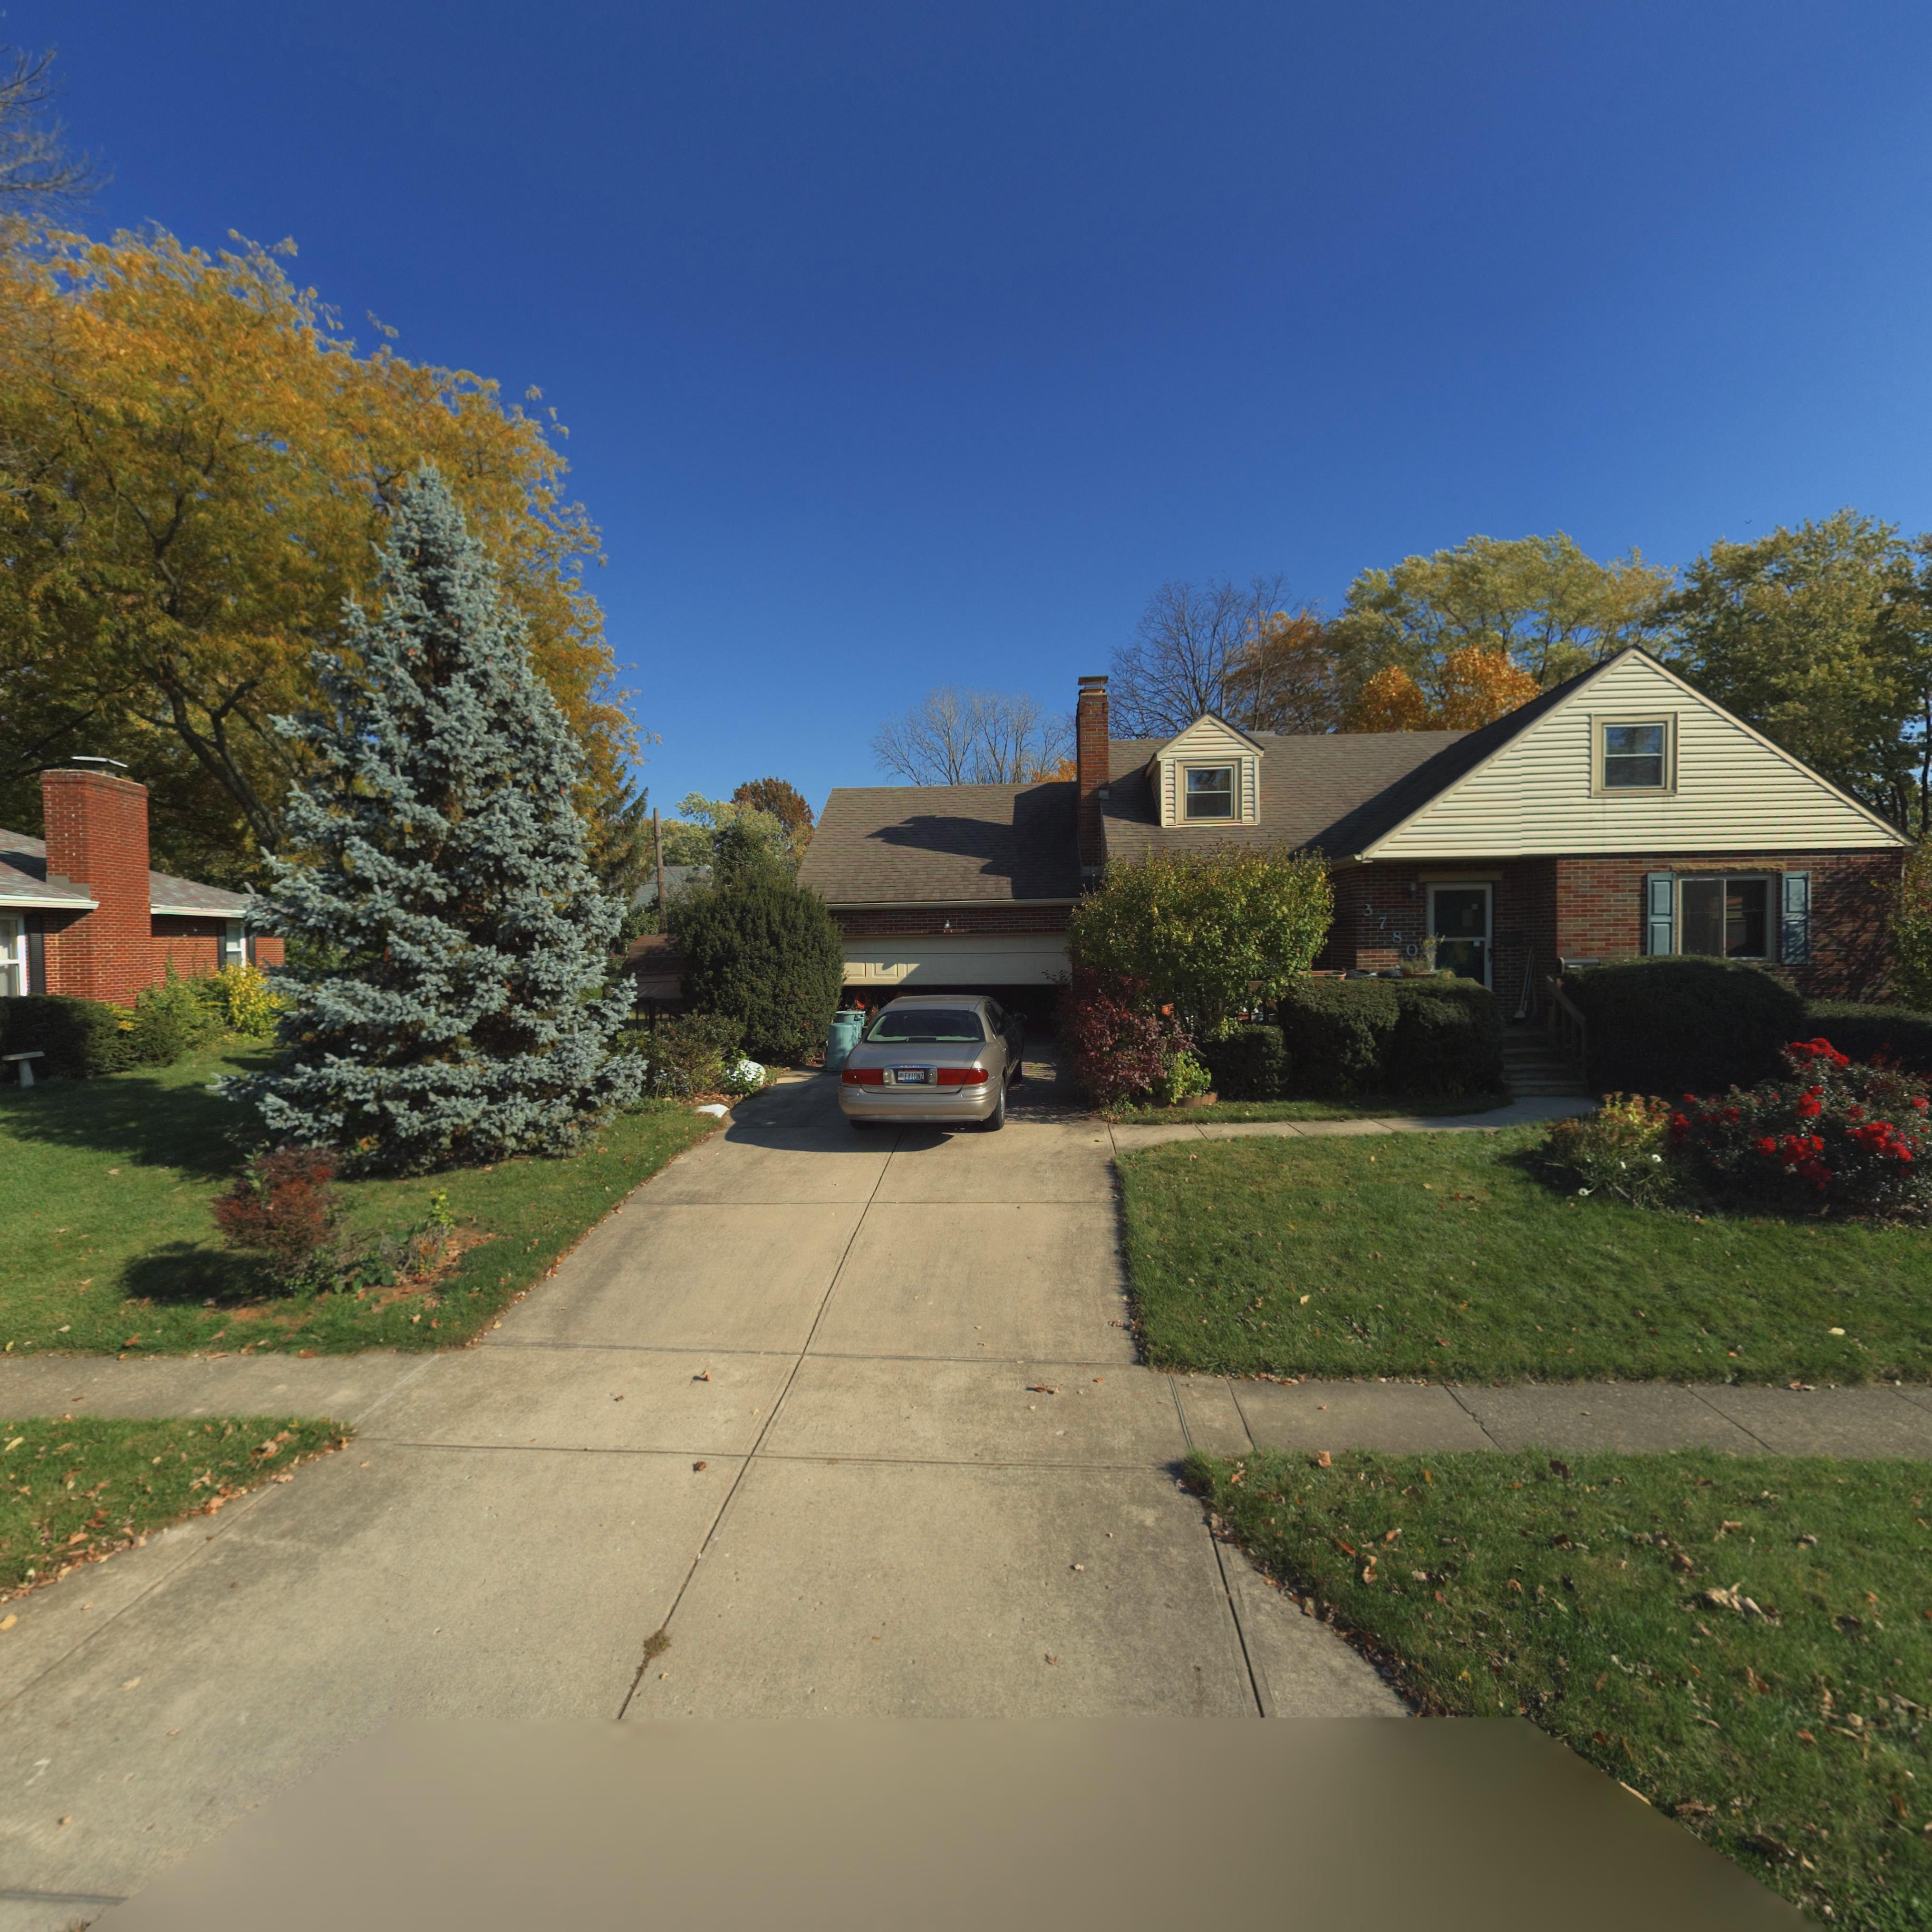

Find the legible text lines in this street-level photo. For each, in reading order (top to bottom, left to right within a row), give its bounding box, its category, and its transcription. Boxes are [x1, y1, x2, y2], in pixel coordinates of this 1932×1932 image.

[1364, 903, 1419, 957] StreetNumber: 3780
[904, 1072, 924, 1080] None: EX10NZ